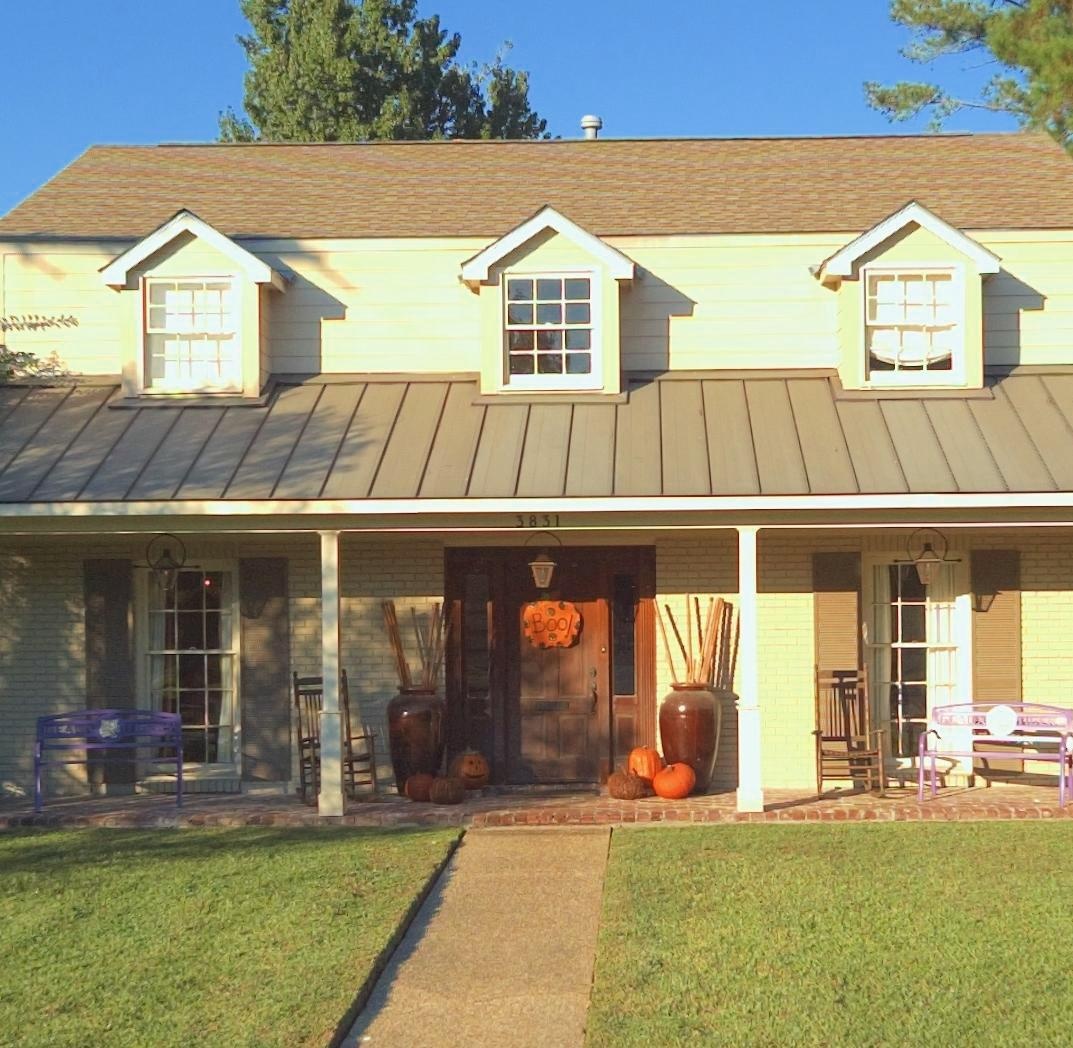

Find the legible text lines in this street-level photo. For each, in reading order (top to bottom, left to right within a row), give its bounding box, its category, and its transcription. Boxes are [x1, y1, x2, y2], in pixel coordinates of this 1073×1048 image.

[513, 513, 561, 529] StreetNumber: 3831
[529, 610, 570, 636] None: Boo